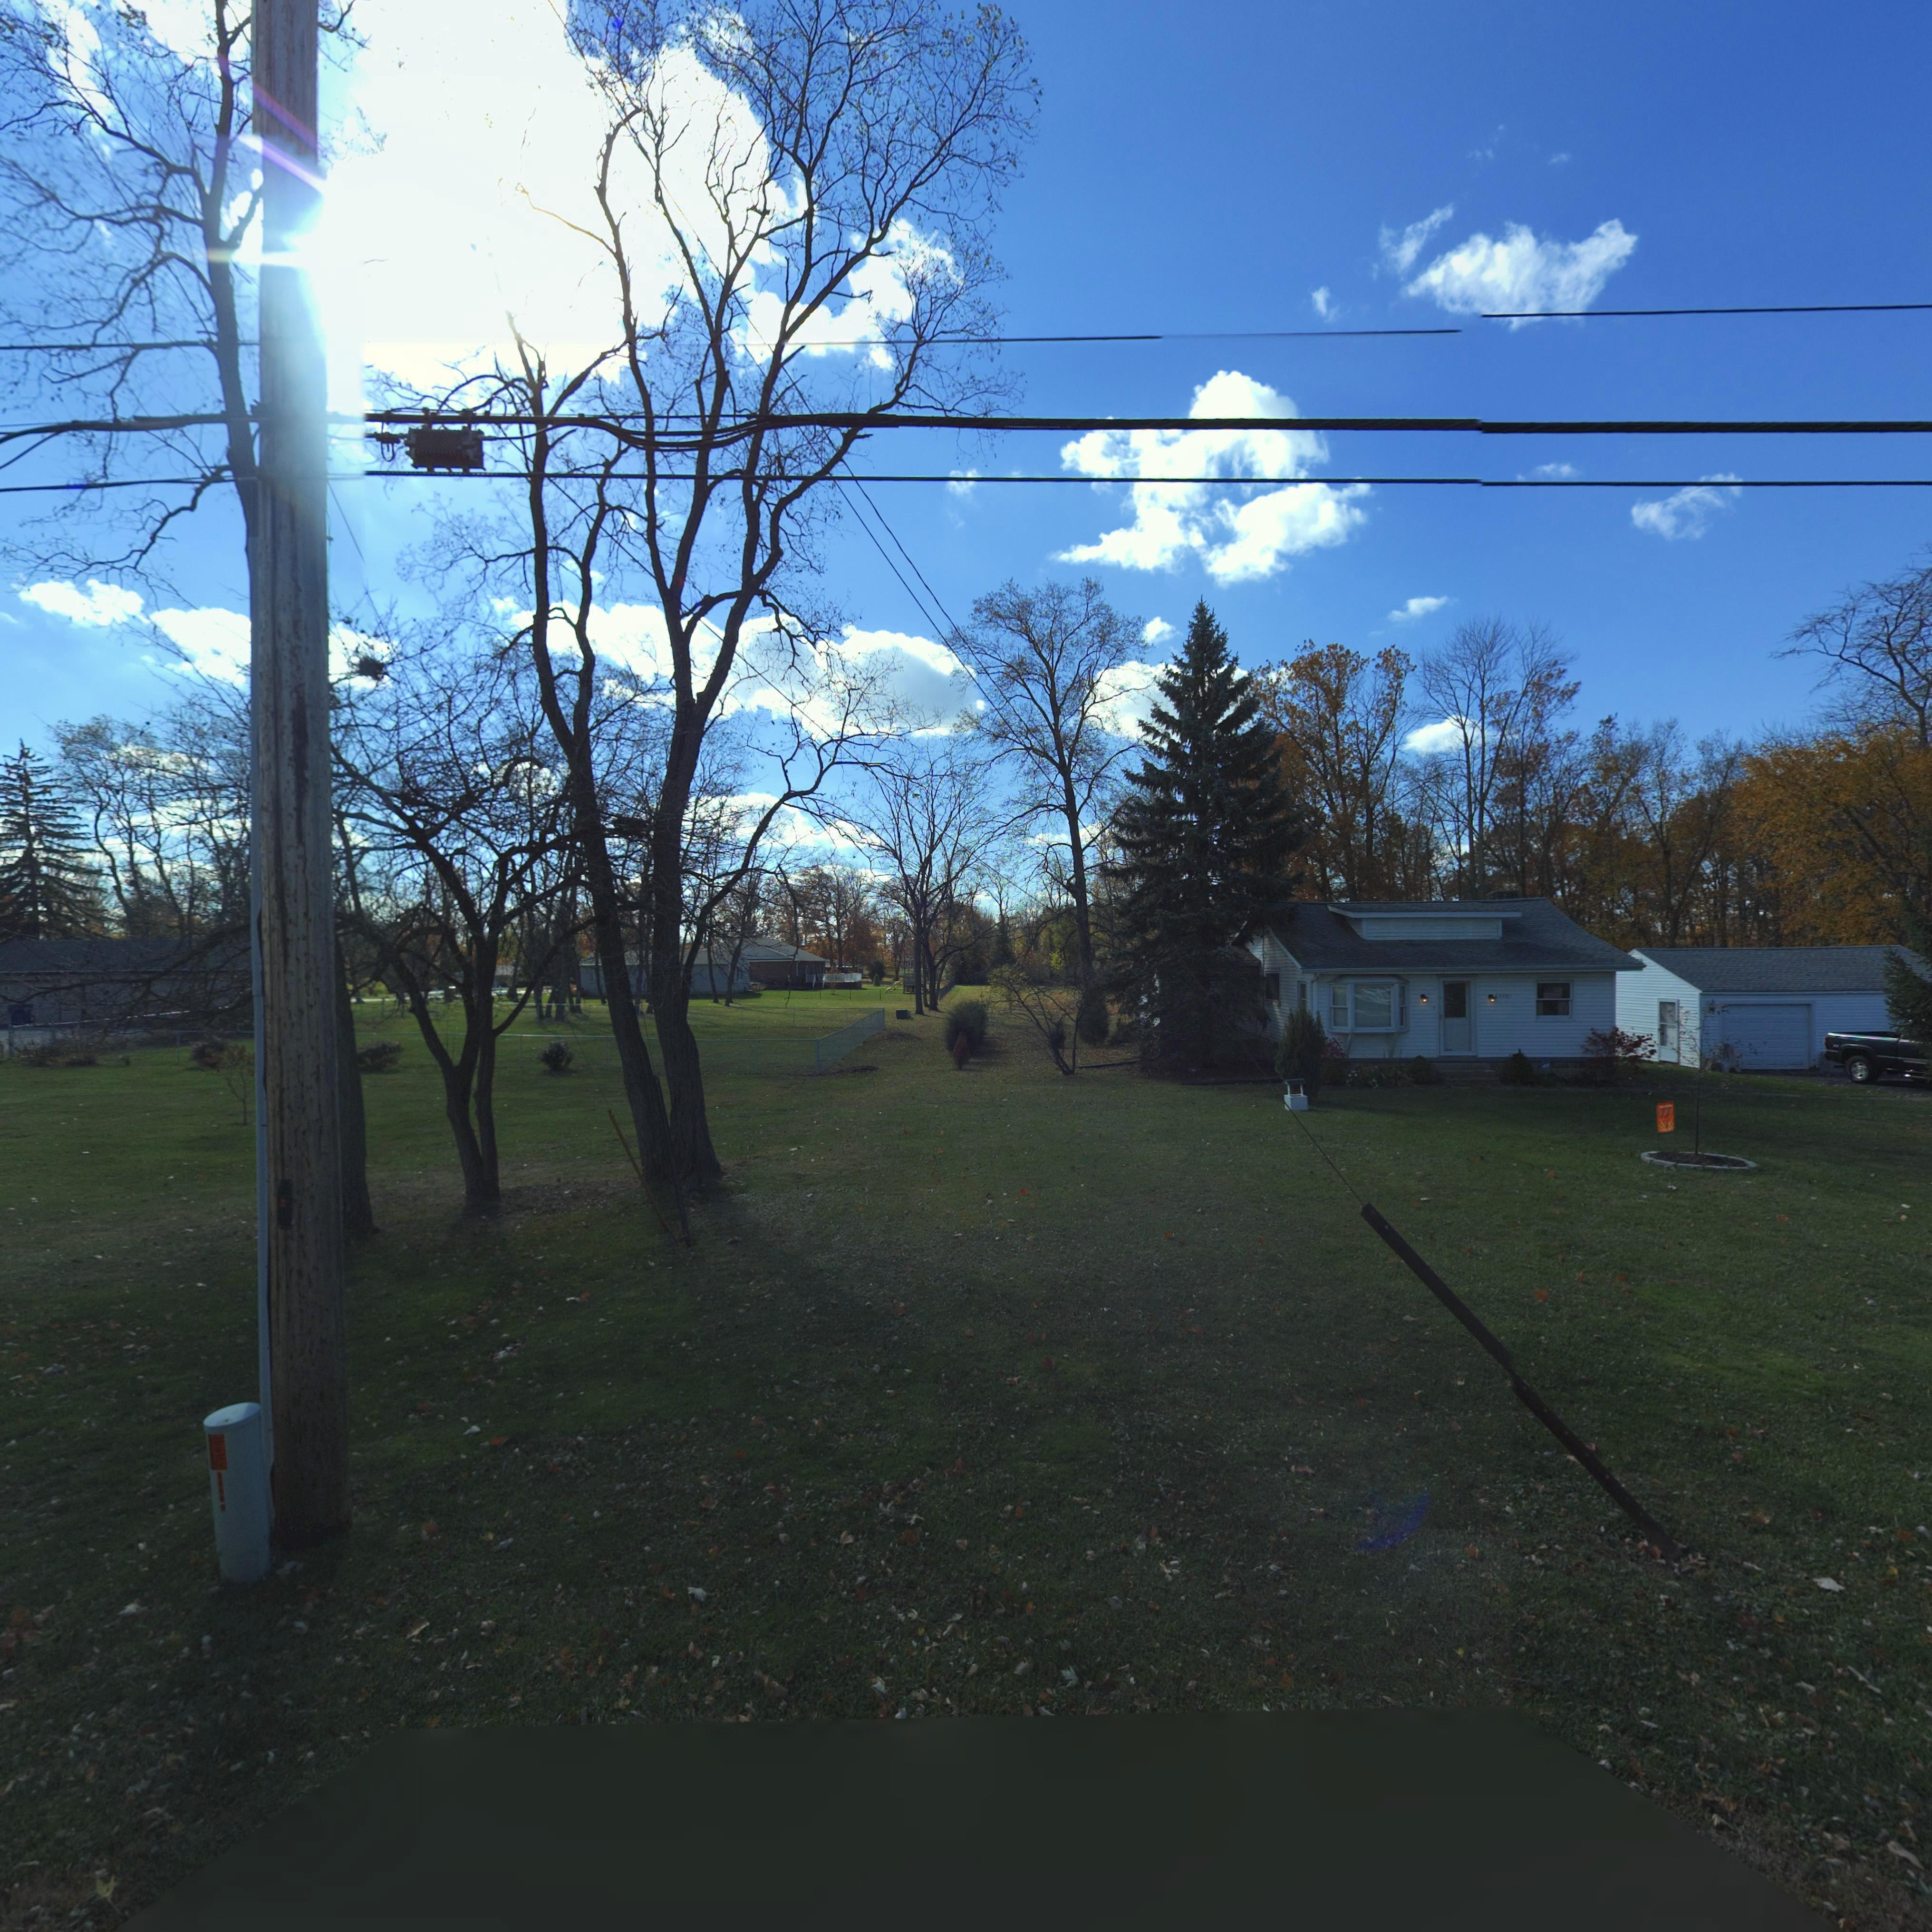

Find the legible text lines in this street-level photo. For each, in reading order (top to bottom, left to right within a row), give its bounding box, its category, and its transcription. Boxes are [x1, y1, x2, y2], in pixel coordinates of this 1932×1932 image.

[1493, 993, 1510, 999] StreetNumber: ***0